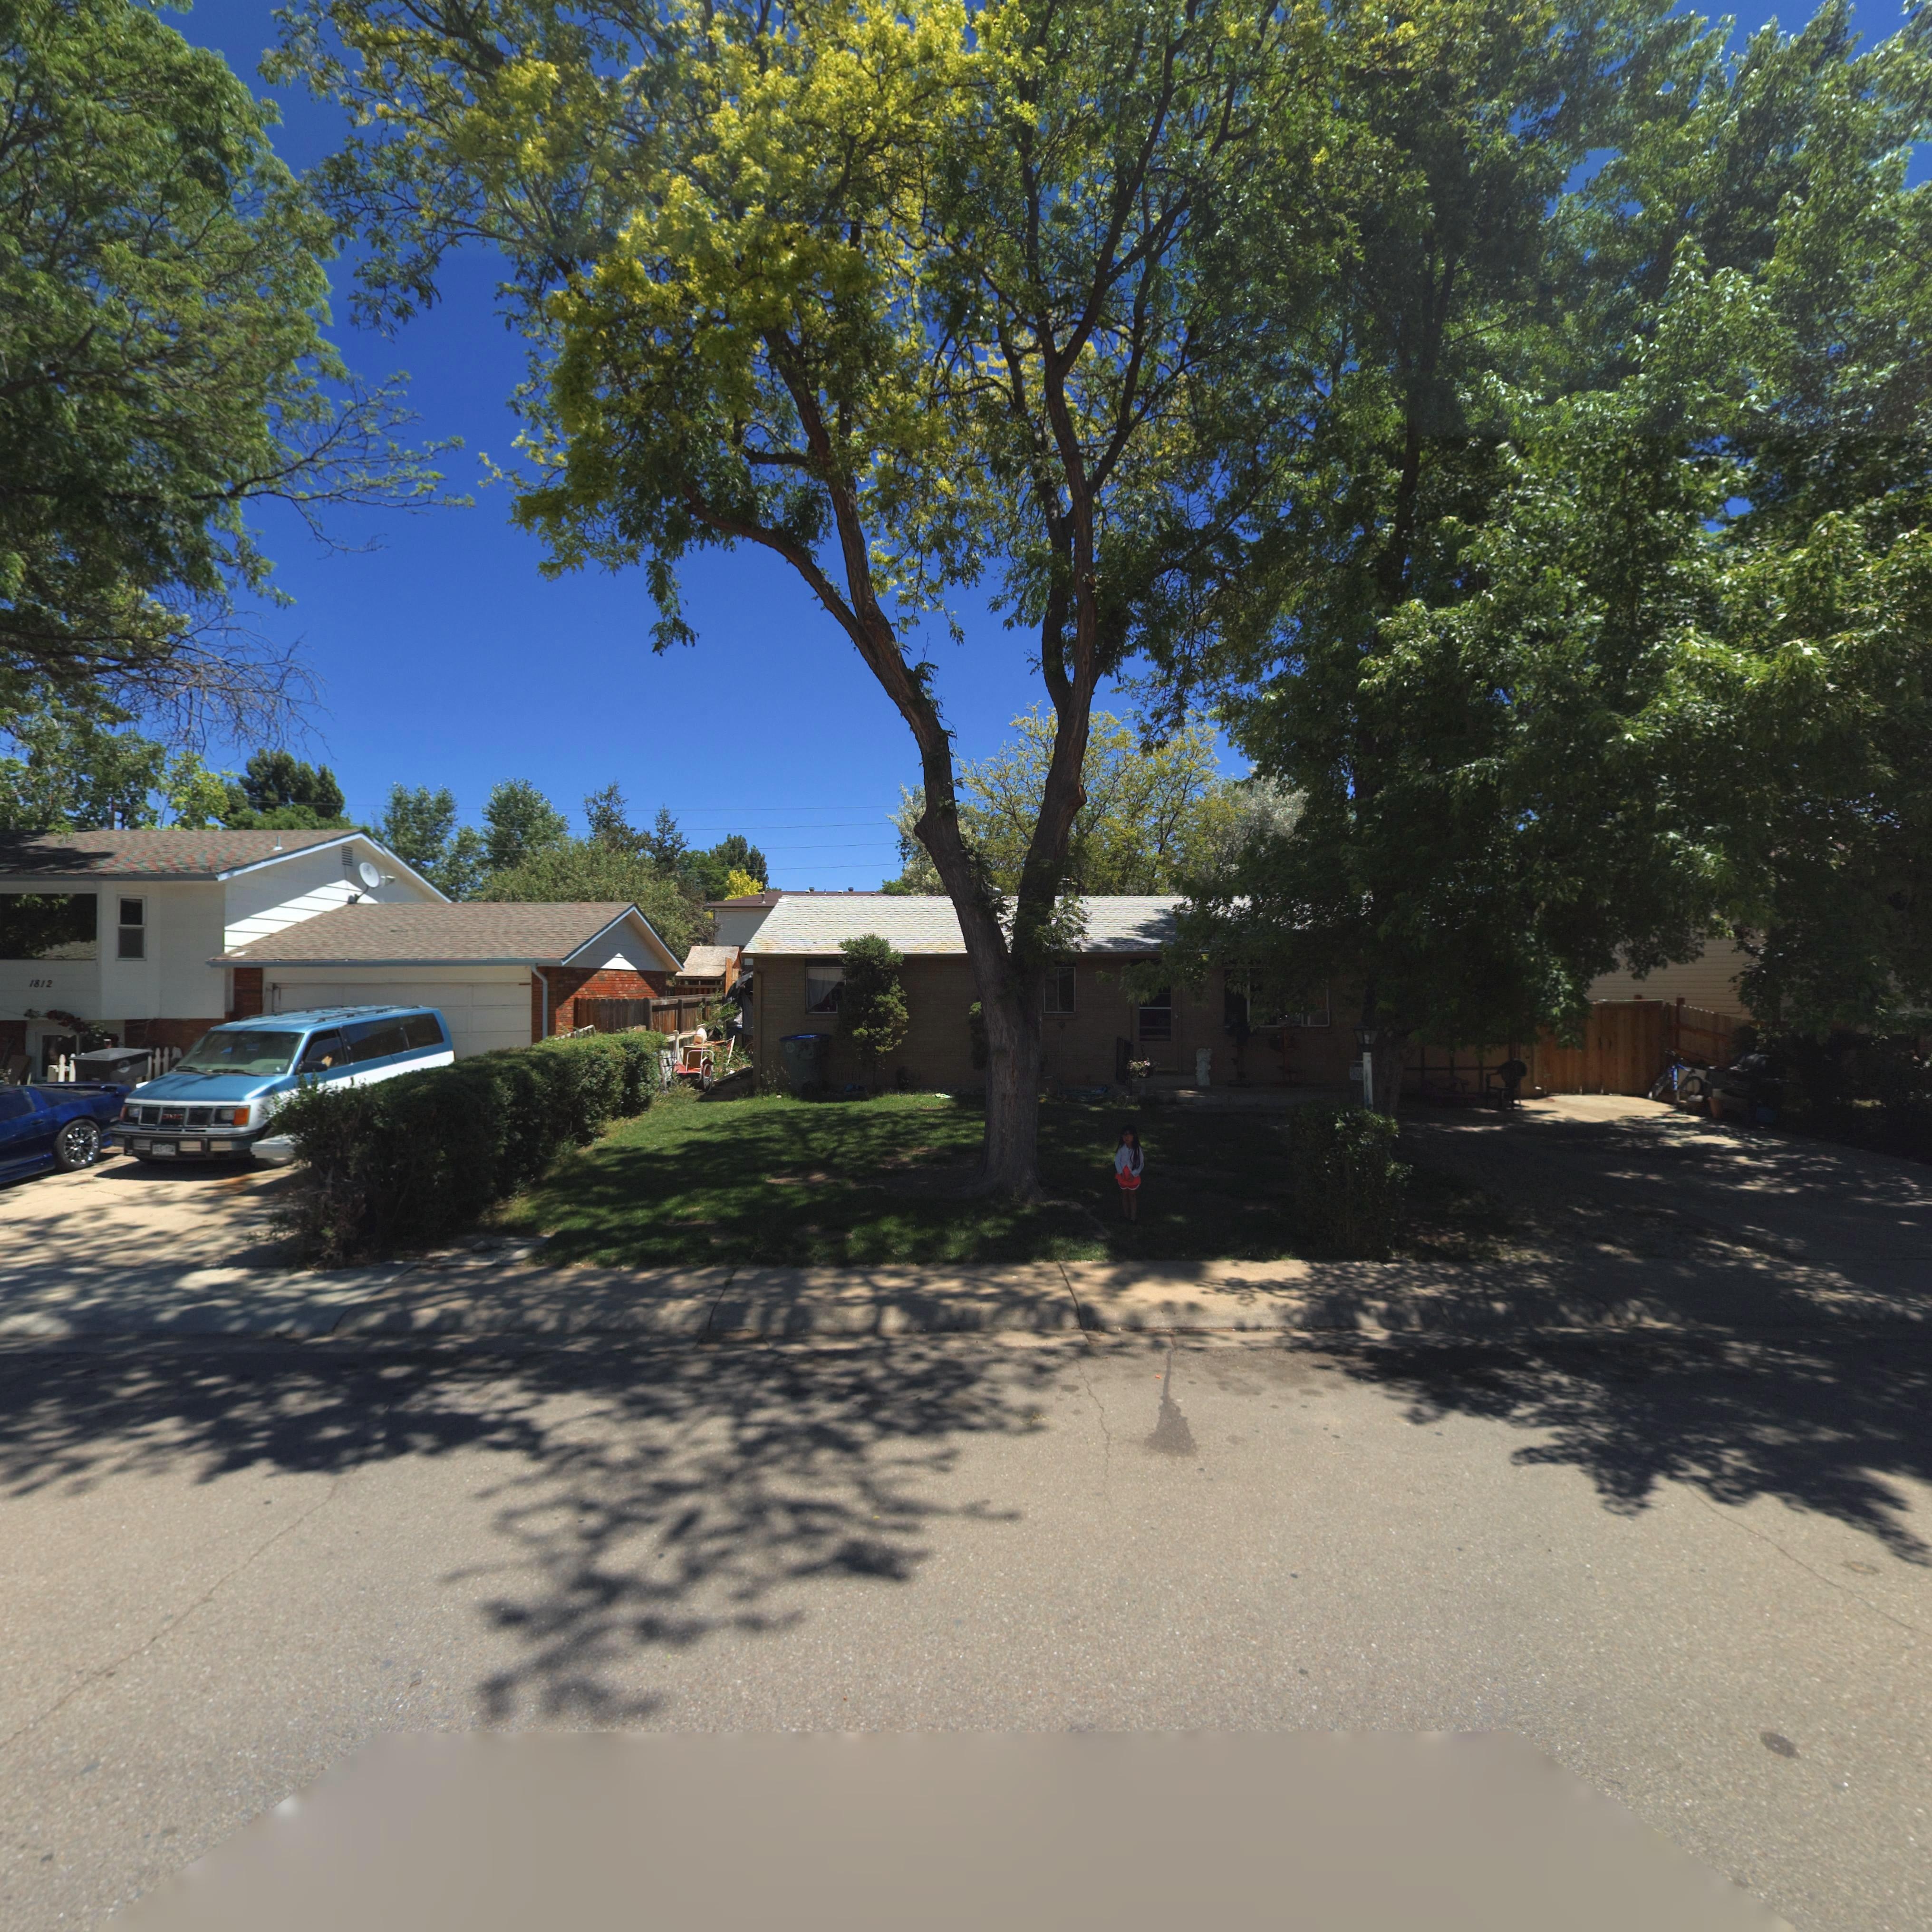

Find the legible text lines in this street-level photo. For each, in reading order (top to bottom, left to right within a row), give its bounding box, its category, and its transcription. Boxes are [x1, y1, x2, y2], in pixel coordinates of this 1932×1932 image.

[29, 979, 53, 987] StreetNumber: 1812
[1348, 1068, 1363, 1079] StreetNumber: 1*06